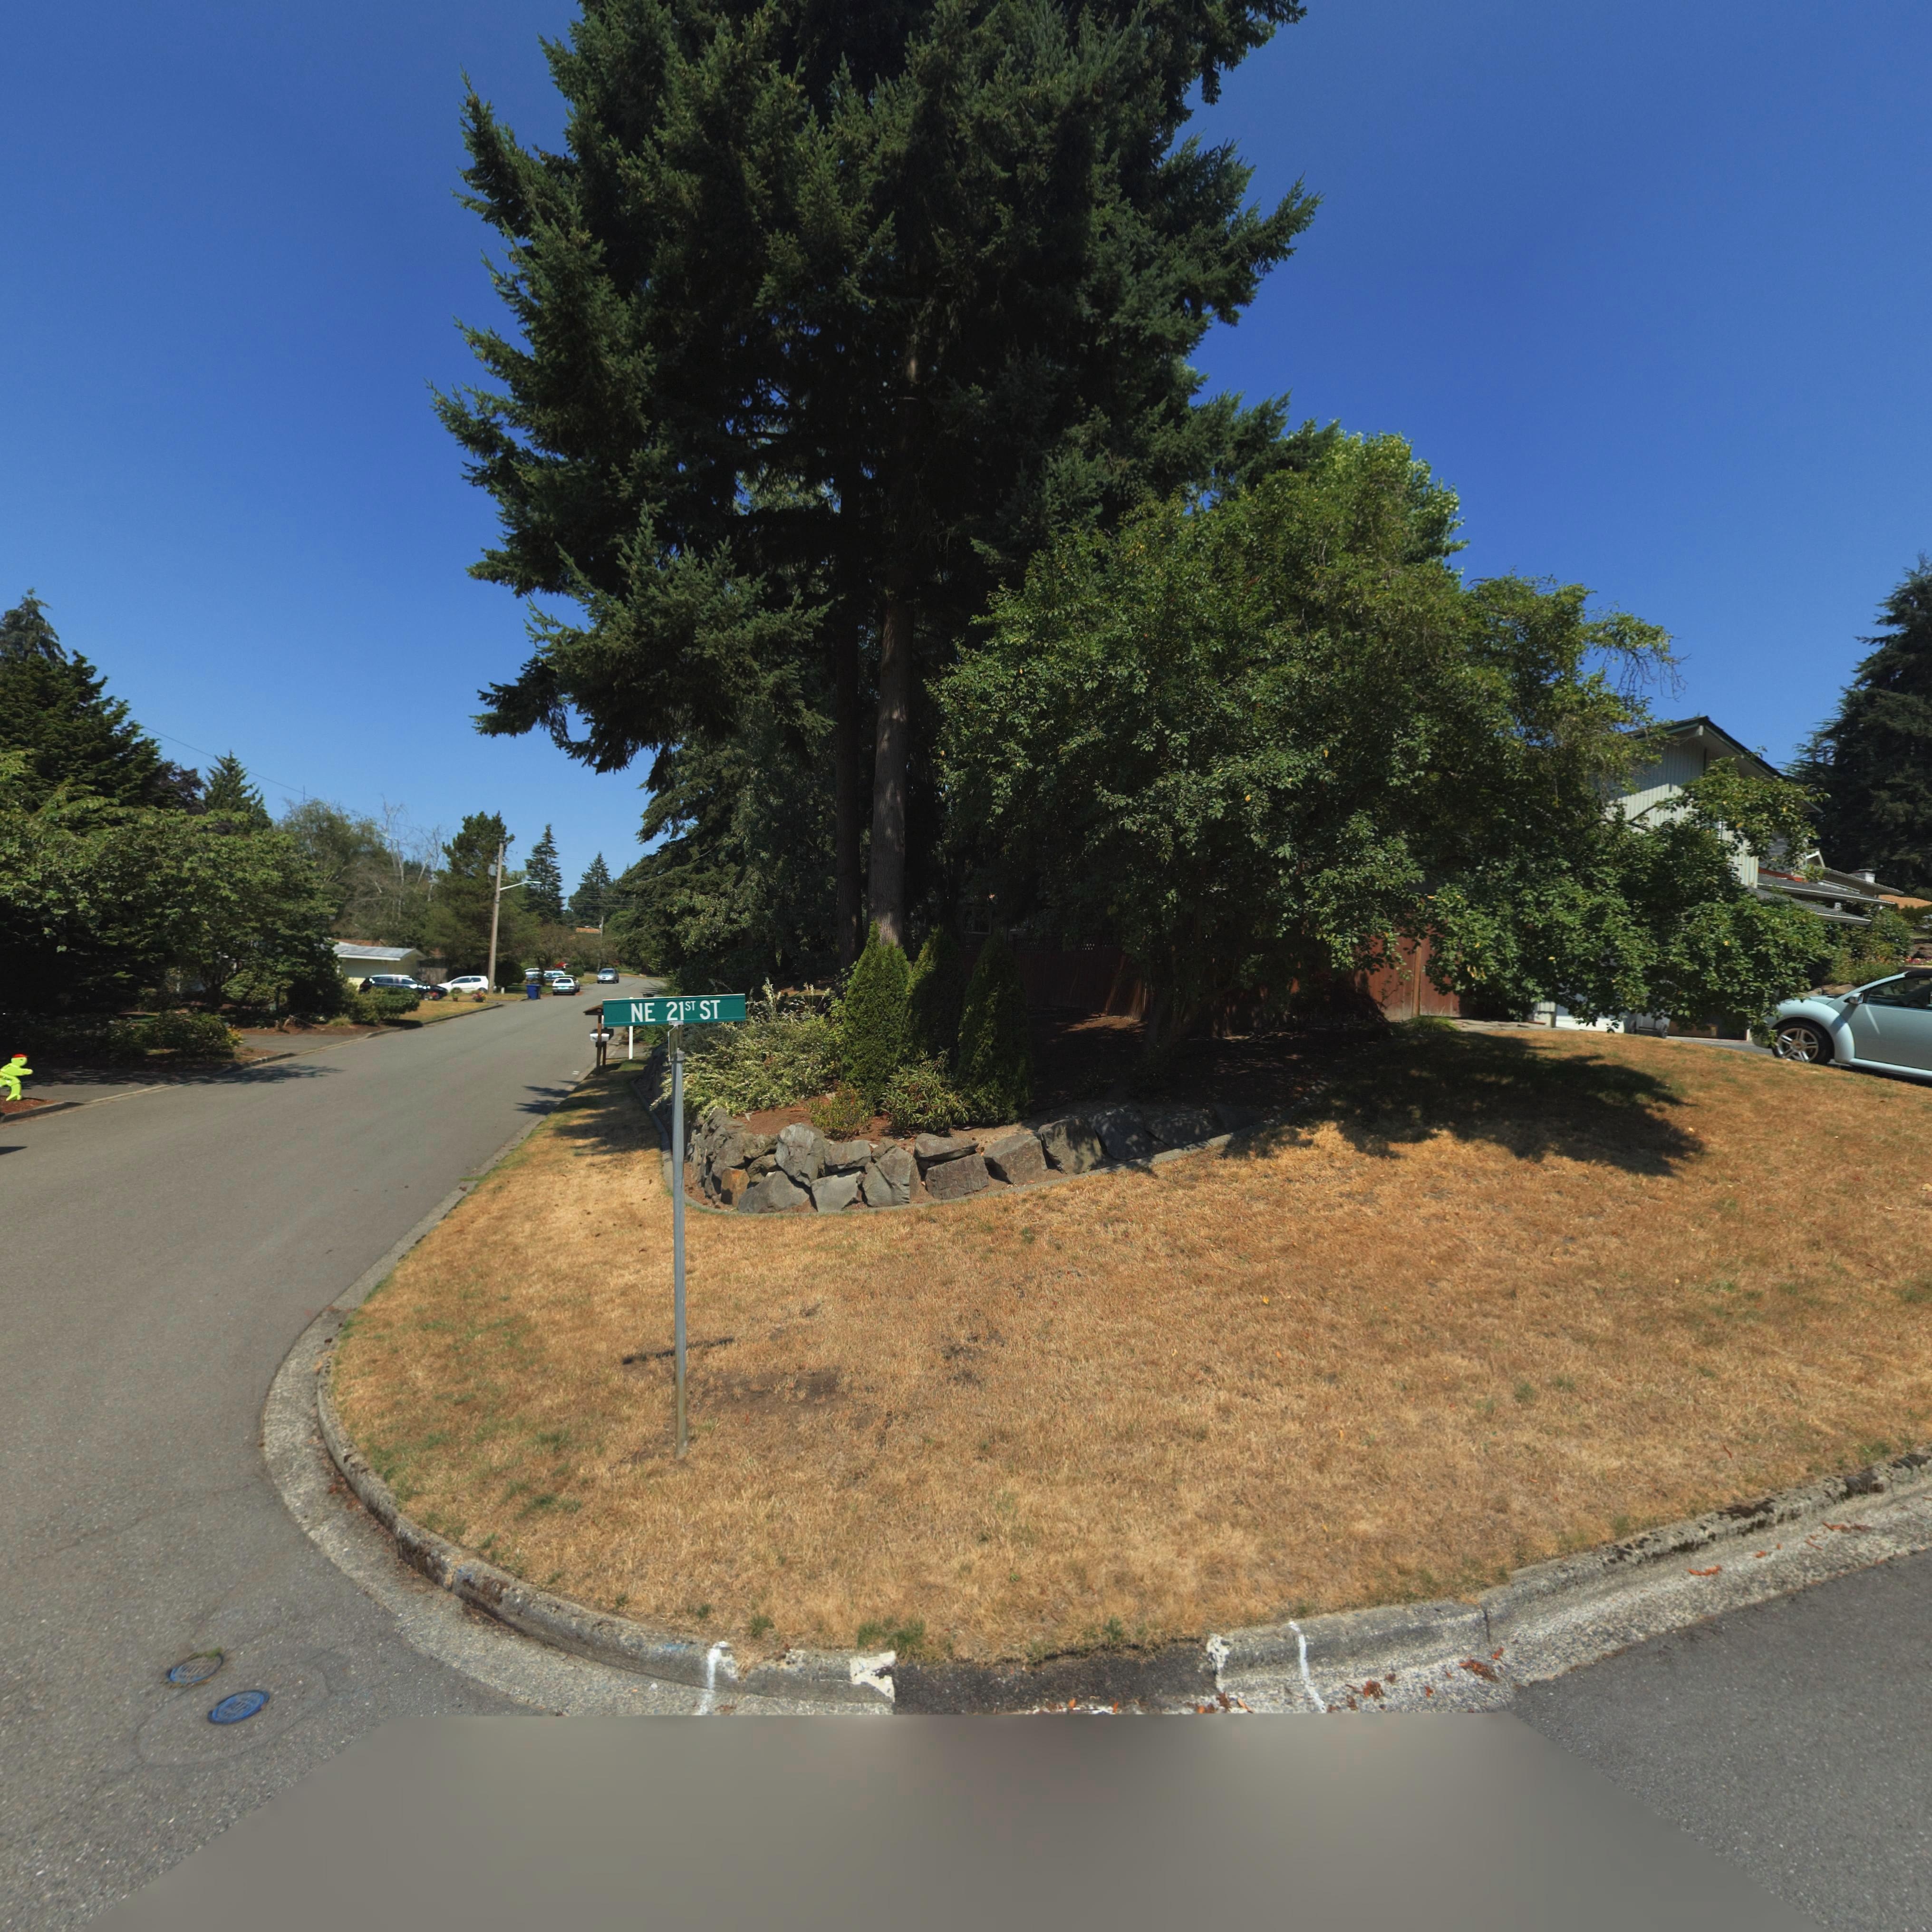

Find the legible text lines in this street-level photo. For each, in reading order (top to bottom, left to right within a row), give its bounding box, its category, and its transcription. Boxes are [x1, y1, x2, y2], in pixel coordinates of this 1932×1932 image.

[631, 1000, 721, 1022] StreetName: NE 21 ST